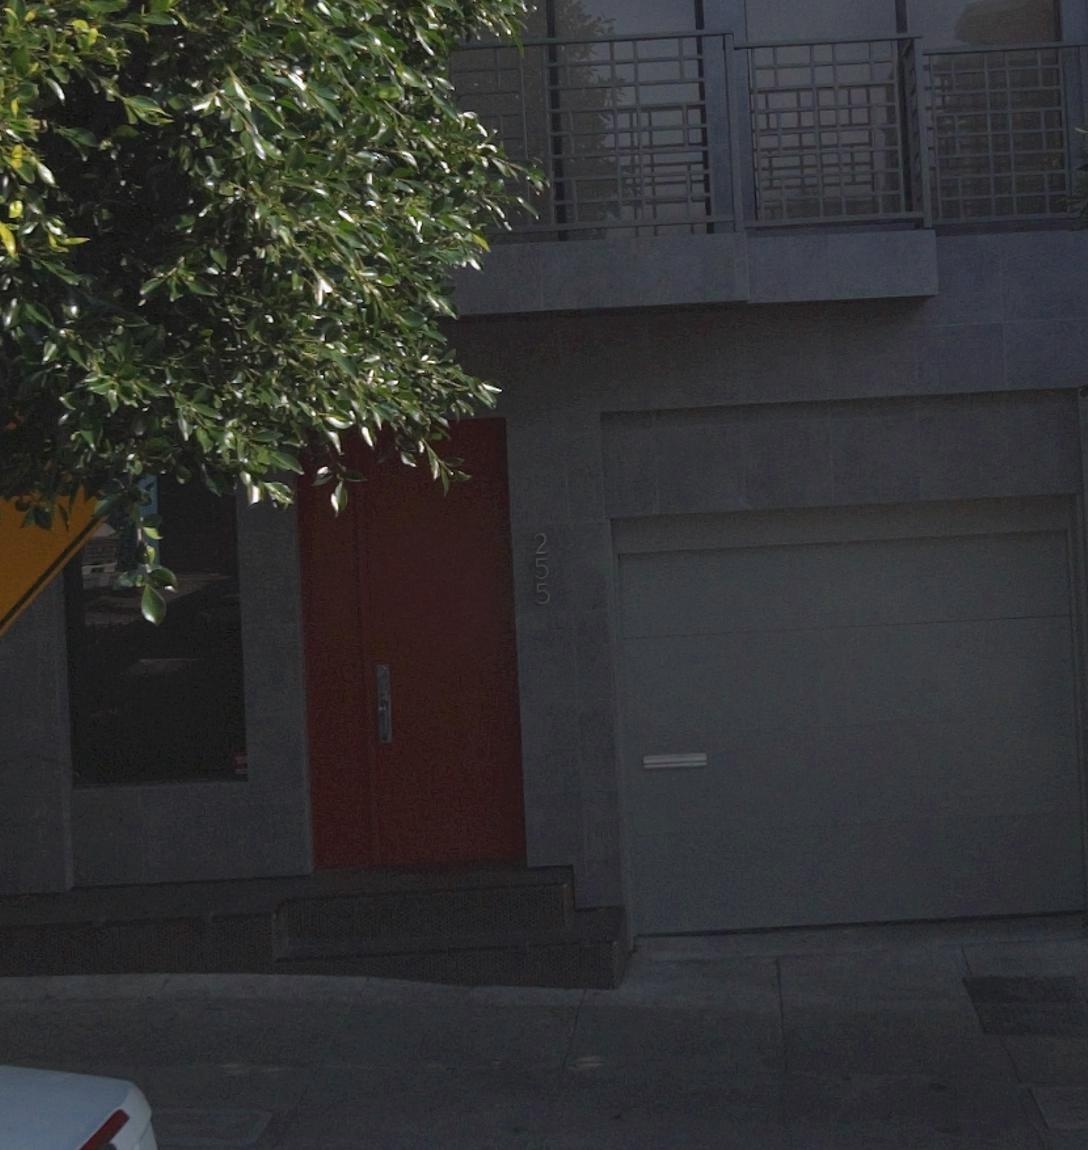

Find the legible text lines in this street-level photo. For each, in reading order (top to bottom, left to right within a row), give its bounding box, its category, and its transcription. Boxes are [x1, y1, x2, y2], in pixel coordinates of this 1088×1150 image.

[529, 527, 554, 611] StreetNumber: 255